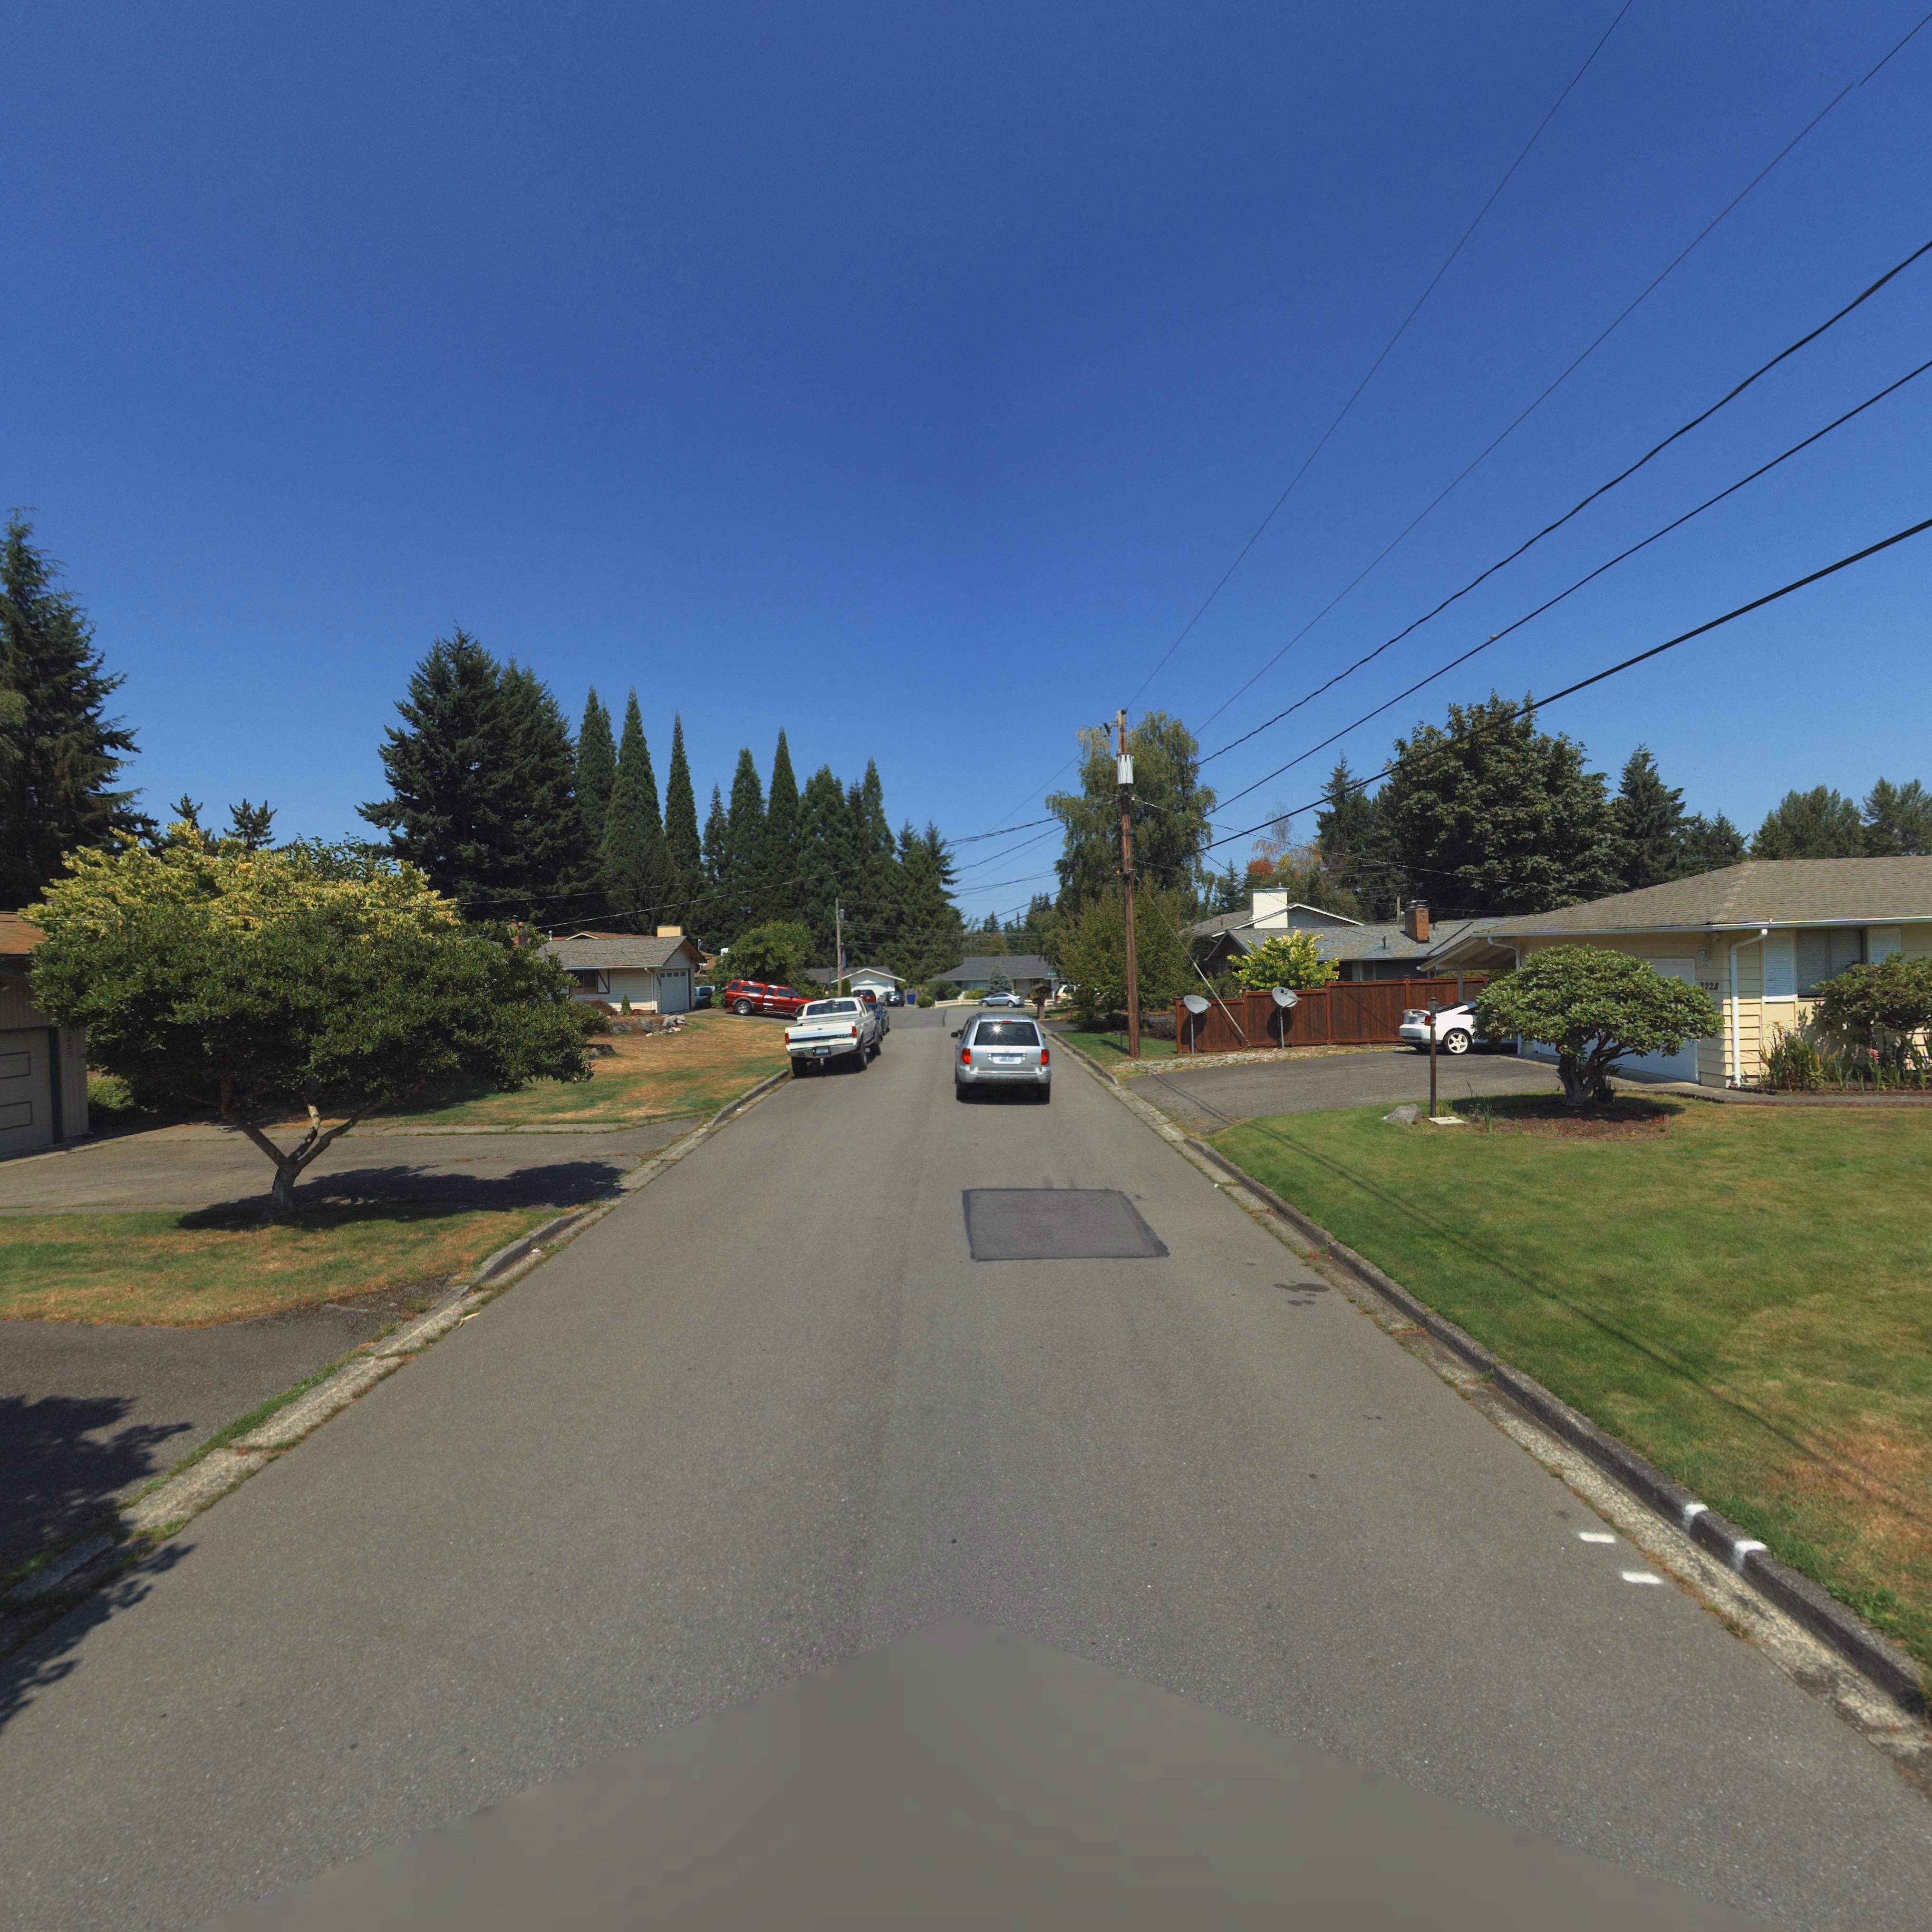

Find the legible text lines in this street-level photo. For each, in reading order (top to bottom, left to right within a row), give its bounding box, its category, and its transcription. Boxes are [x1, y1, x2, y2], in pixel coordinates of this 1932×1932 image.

[1699, 982, 1719, 991] StreetNumber: *228